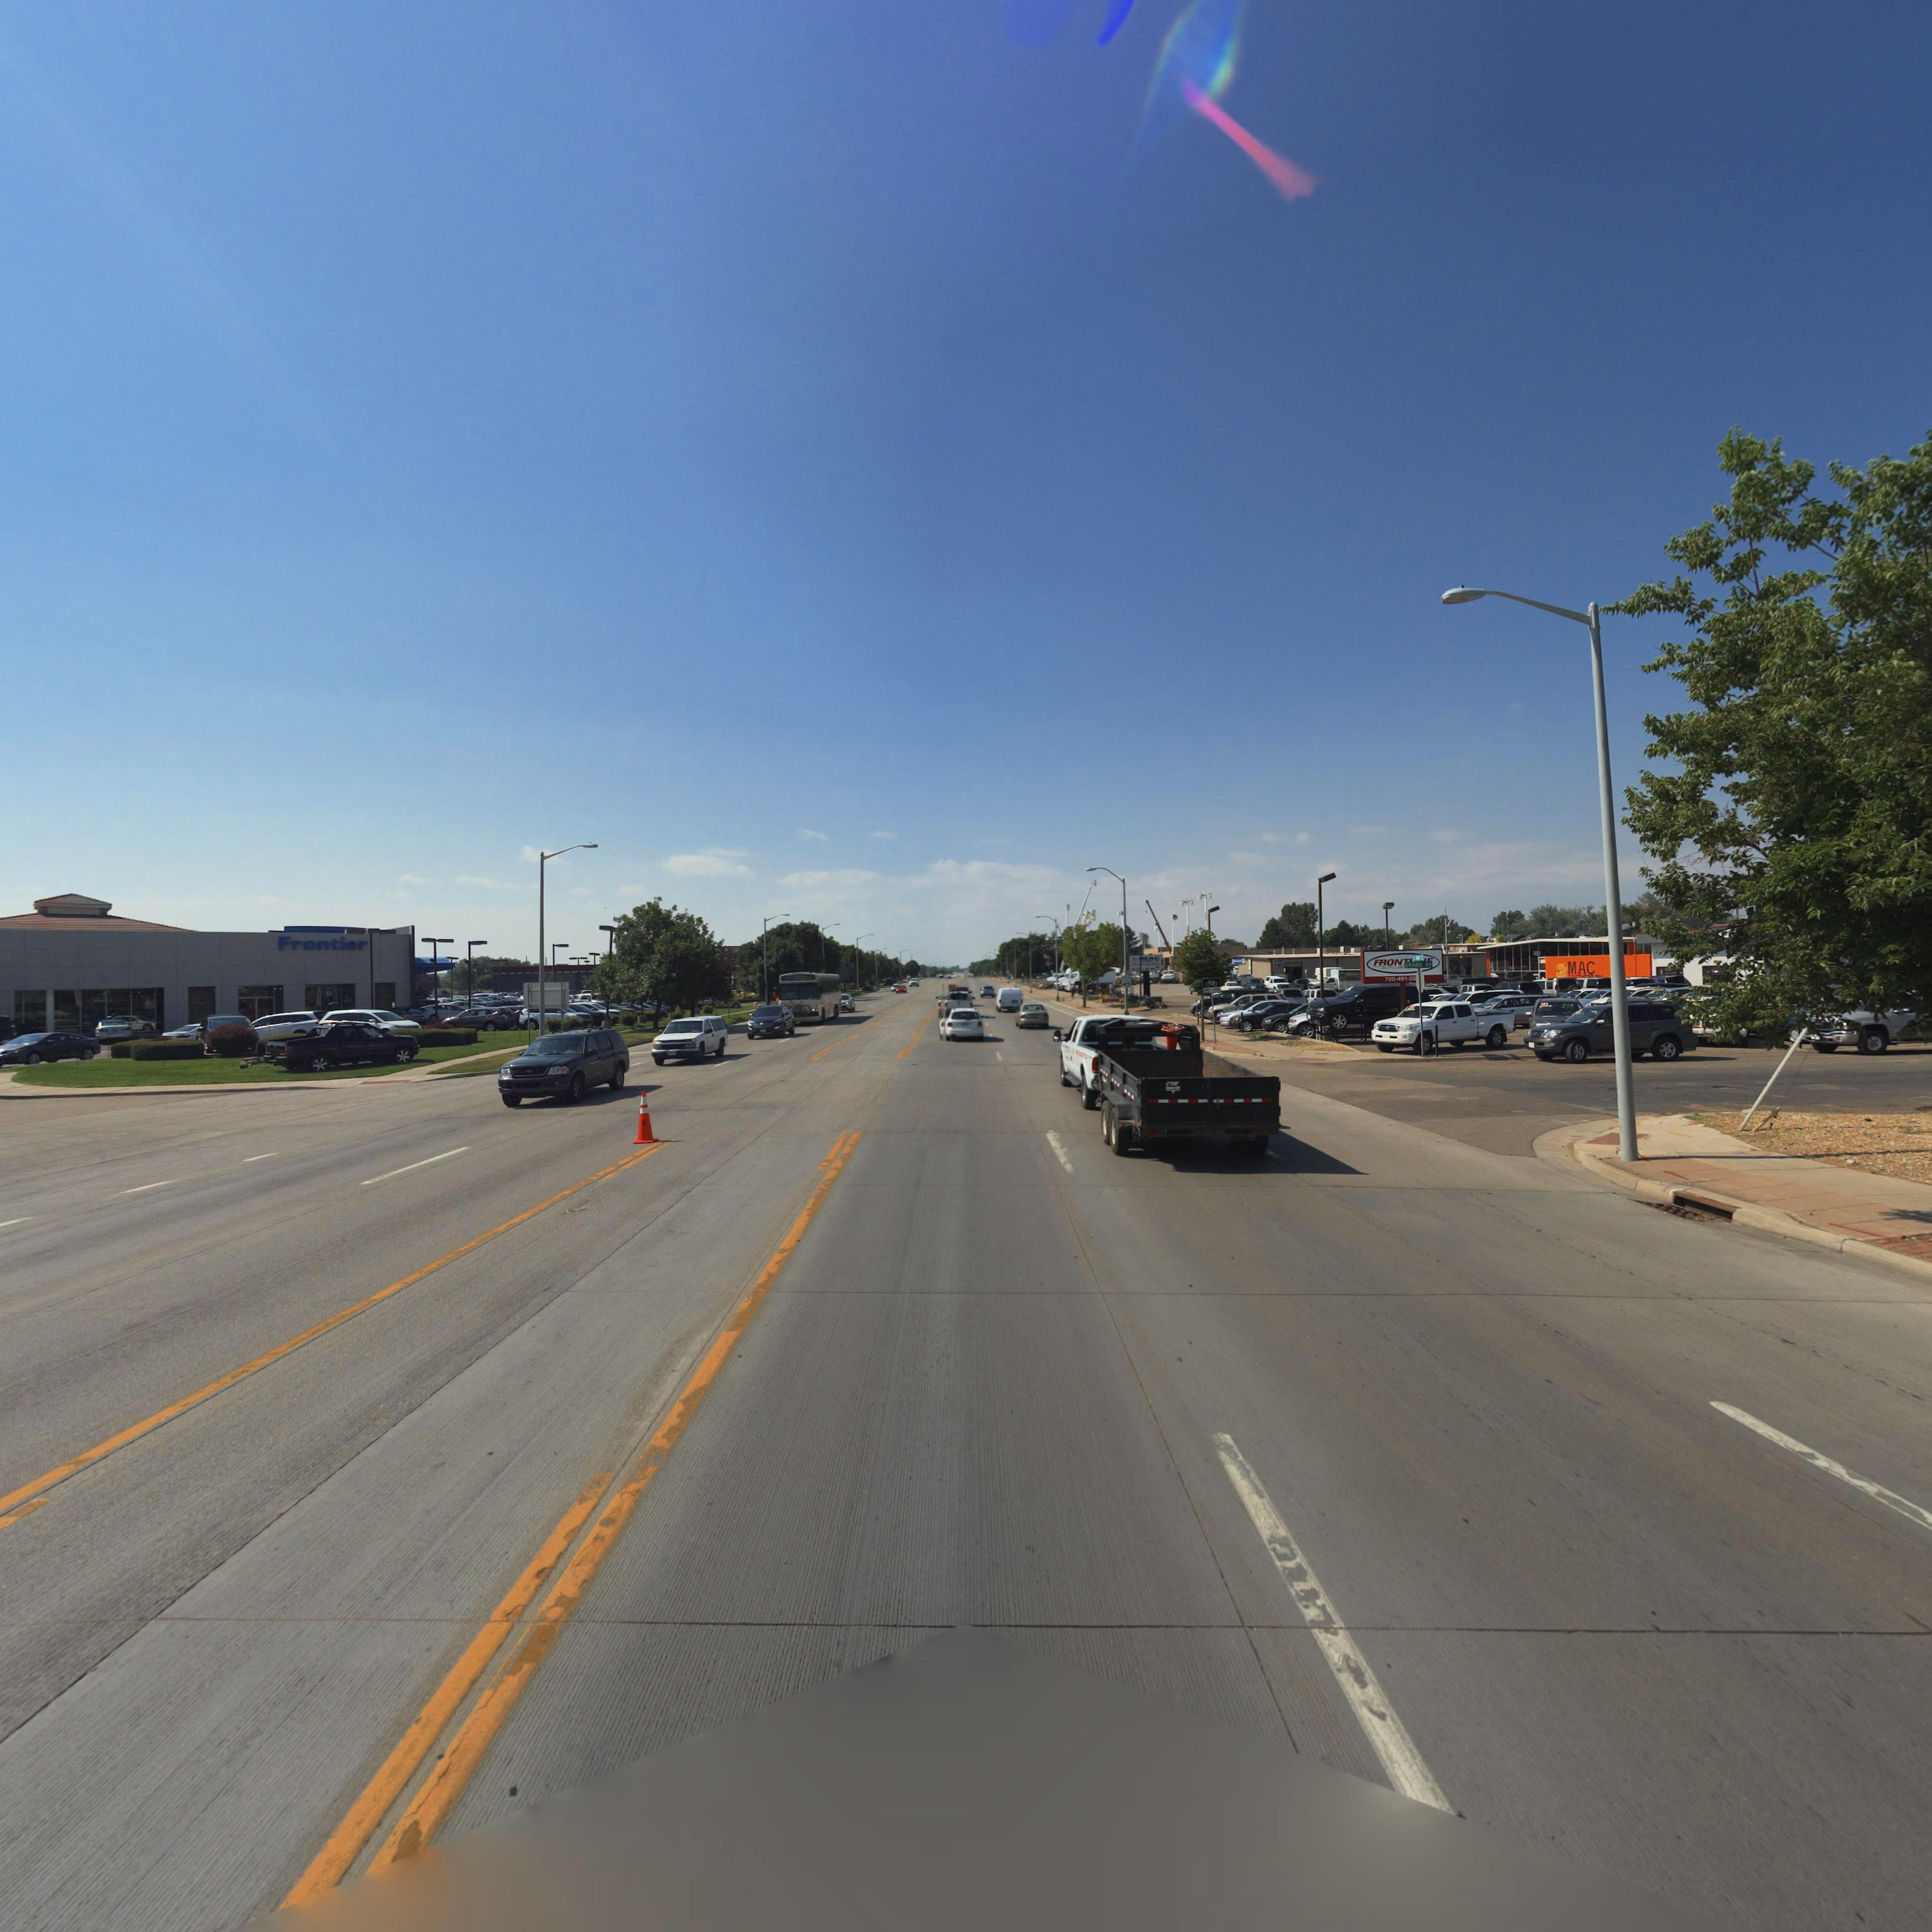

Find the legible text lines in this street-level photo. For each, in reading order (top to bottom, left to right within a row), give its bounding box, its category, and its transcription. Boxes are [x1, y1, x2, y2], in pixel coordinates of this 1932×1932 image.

[278, 936, 368, 951] BusinessName: Frontier
[1140, 956, 1160, 960] BusinessName: MAC
[1380, 965, 1398, 969] BusinessName: AUTO
[1372, 957, 1433, 966] BusinessName: FRON*****
[1405, 962, 1431, 967] StreetName: GRAND AV
[1567, 961, 1594, 974] StreetNumber: MAC